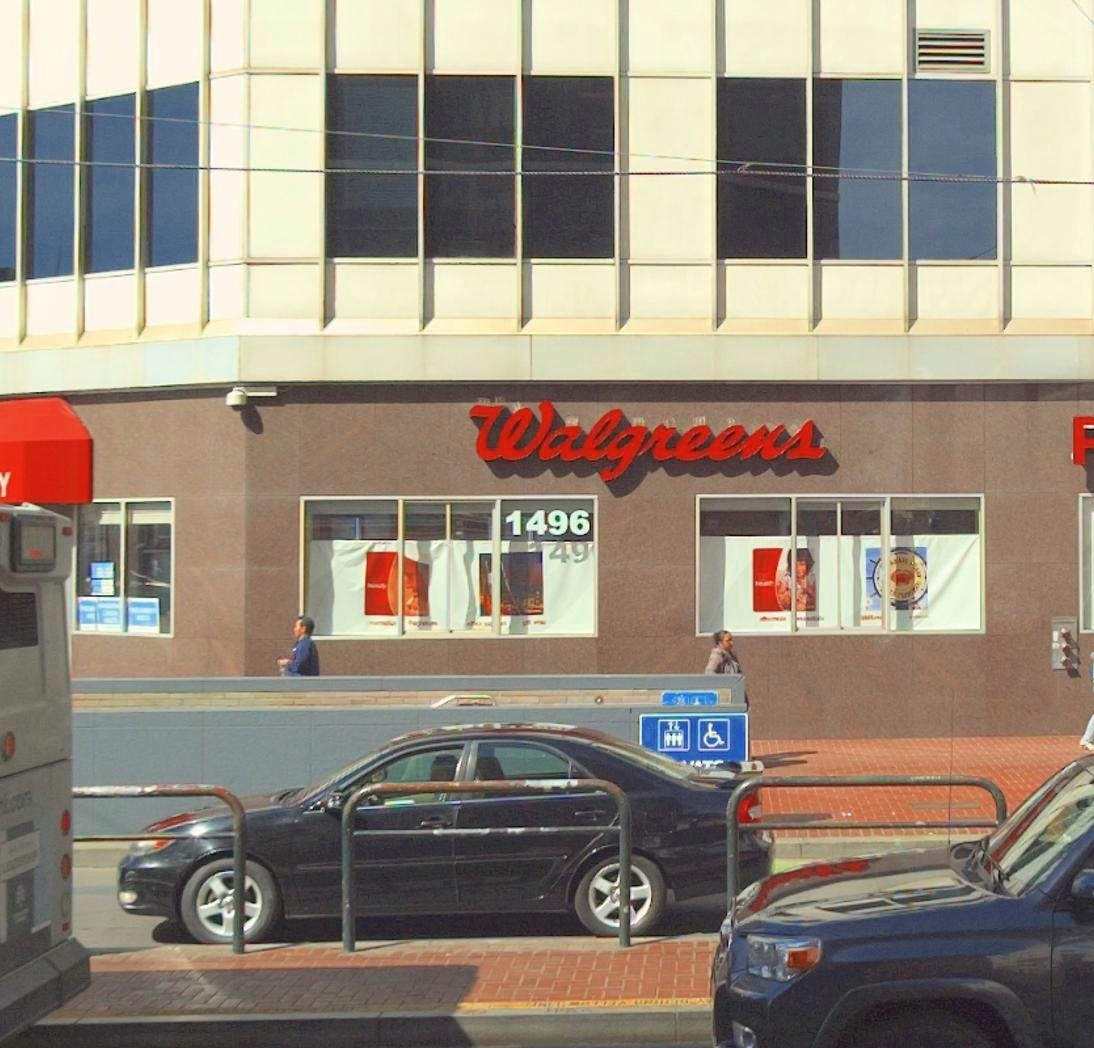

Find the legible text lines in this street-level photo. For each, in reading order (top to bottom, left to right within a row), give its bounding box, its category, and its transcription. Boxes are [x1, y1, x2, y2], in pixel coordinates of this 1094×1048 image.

[456, 394, 835, 489] BusinessName: Walgreens
[499, 506, 596, 540] StreetNumber: 1496
[526, 535, 593, 567] StreetNumber: 149
[13, 790, 28, 816] None: o